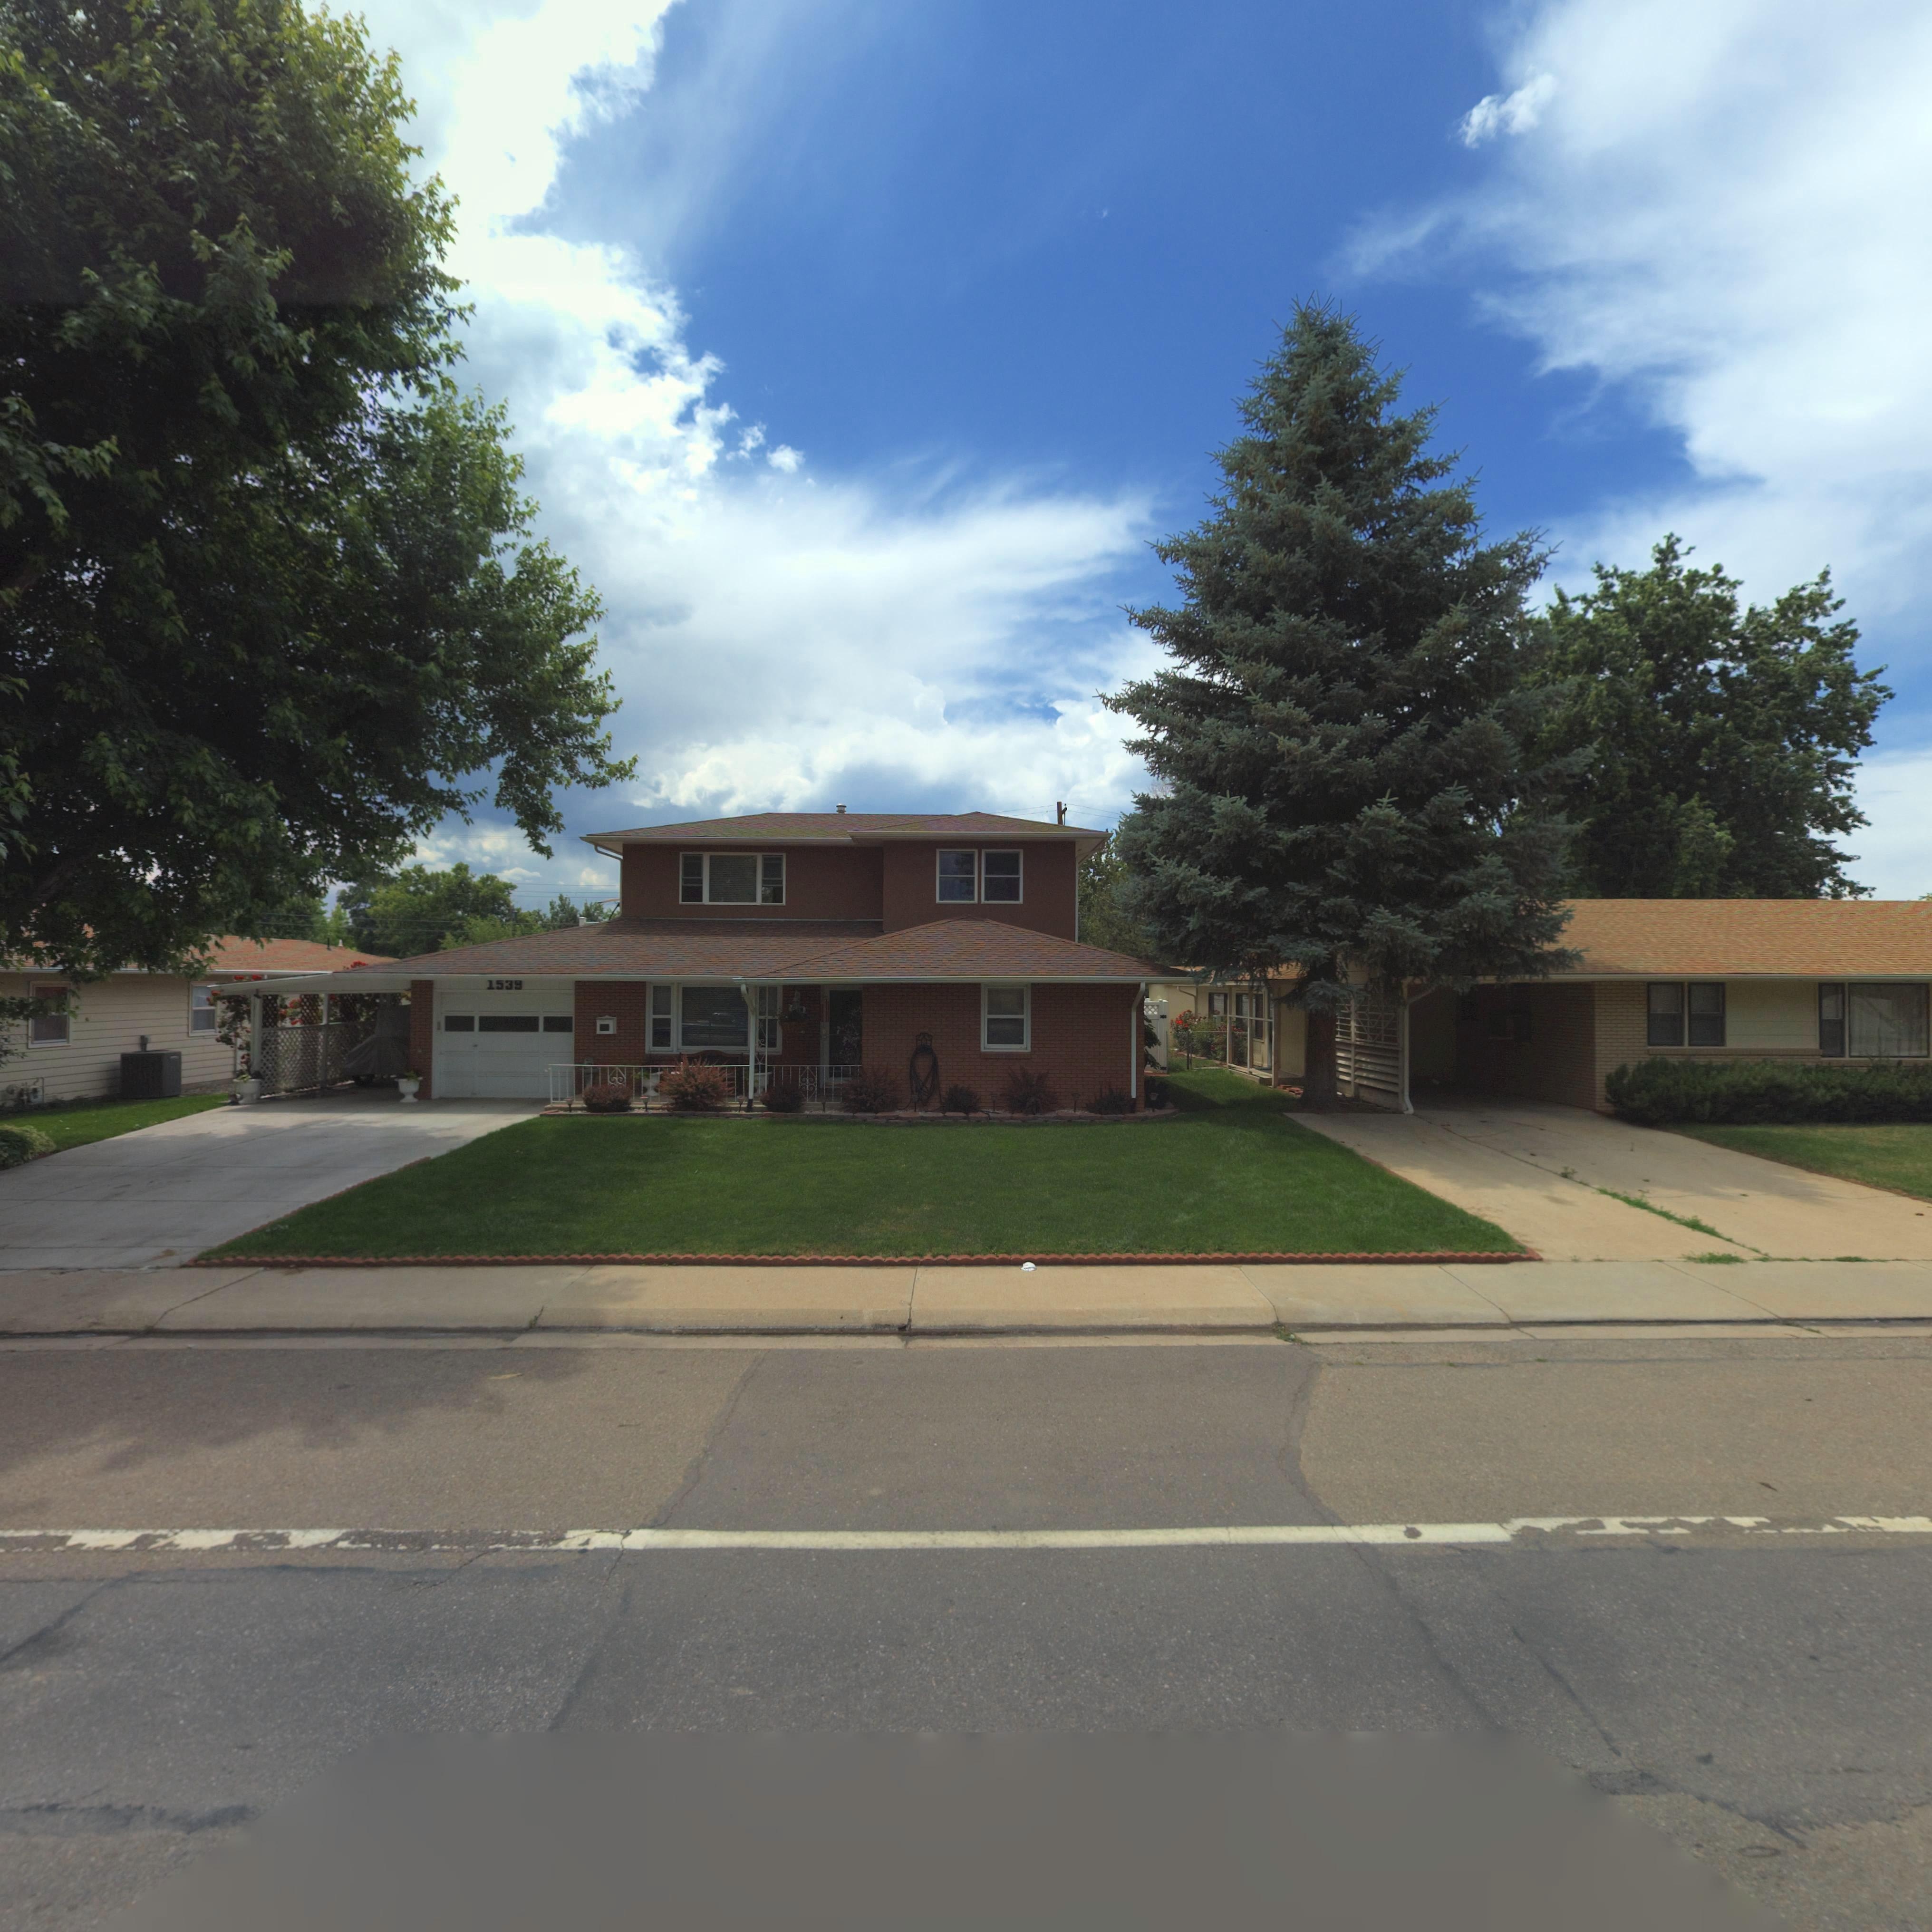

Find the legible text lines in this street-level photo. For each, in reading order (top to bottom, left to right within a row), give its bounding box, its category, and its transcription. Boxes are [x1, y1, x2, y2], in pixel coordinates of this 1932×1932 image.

[486, 979, 523, 990] StreetNumber: 1539